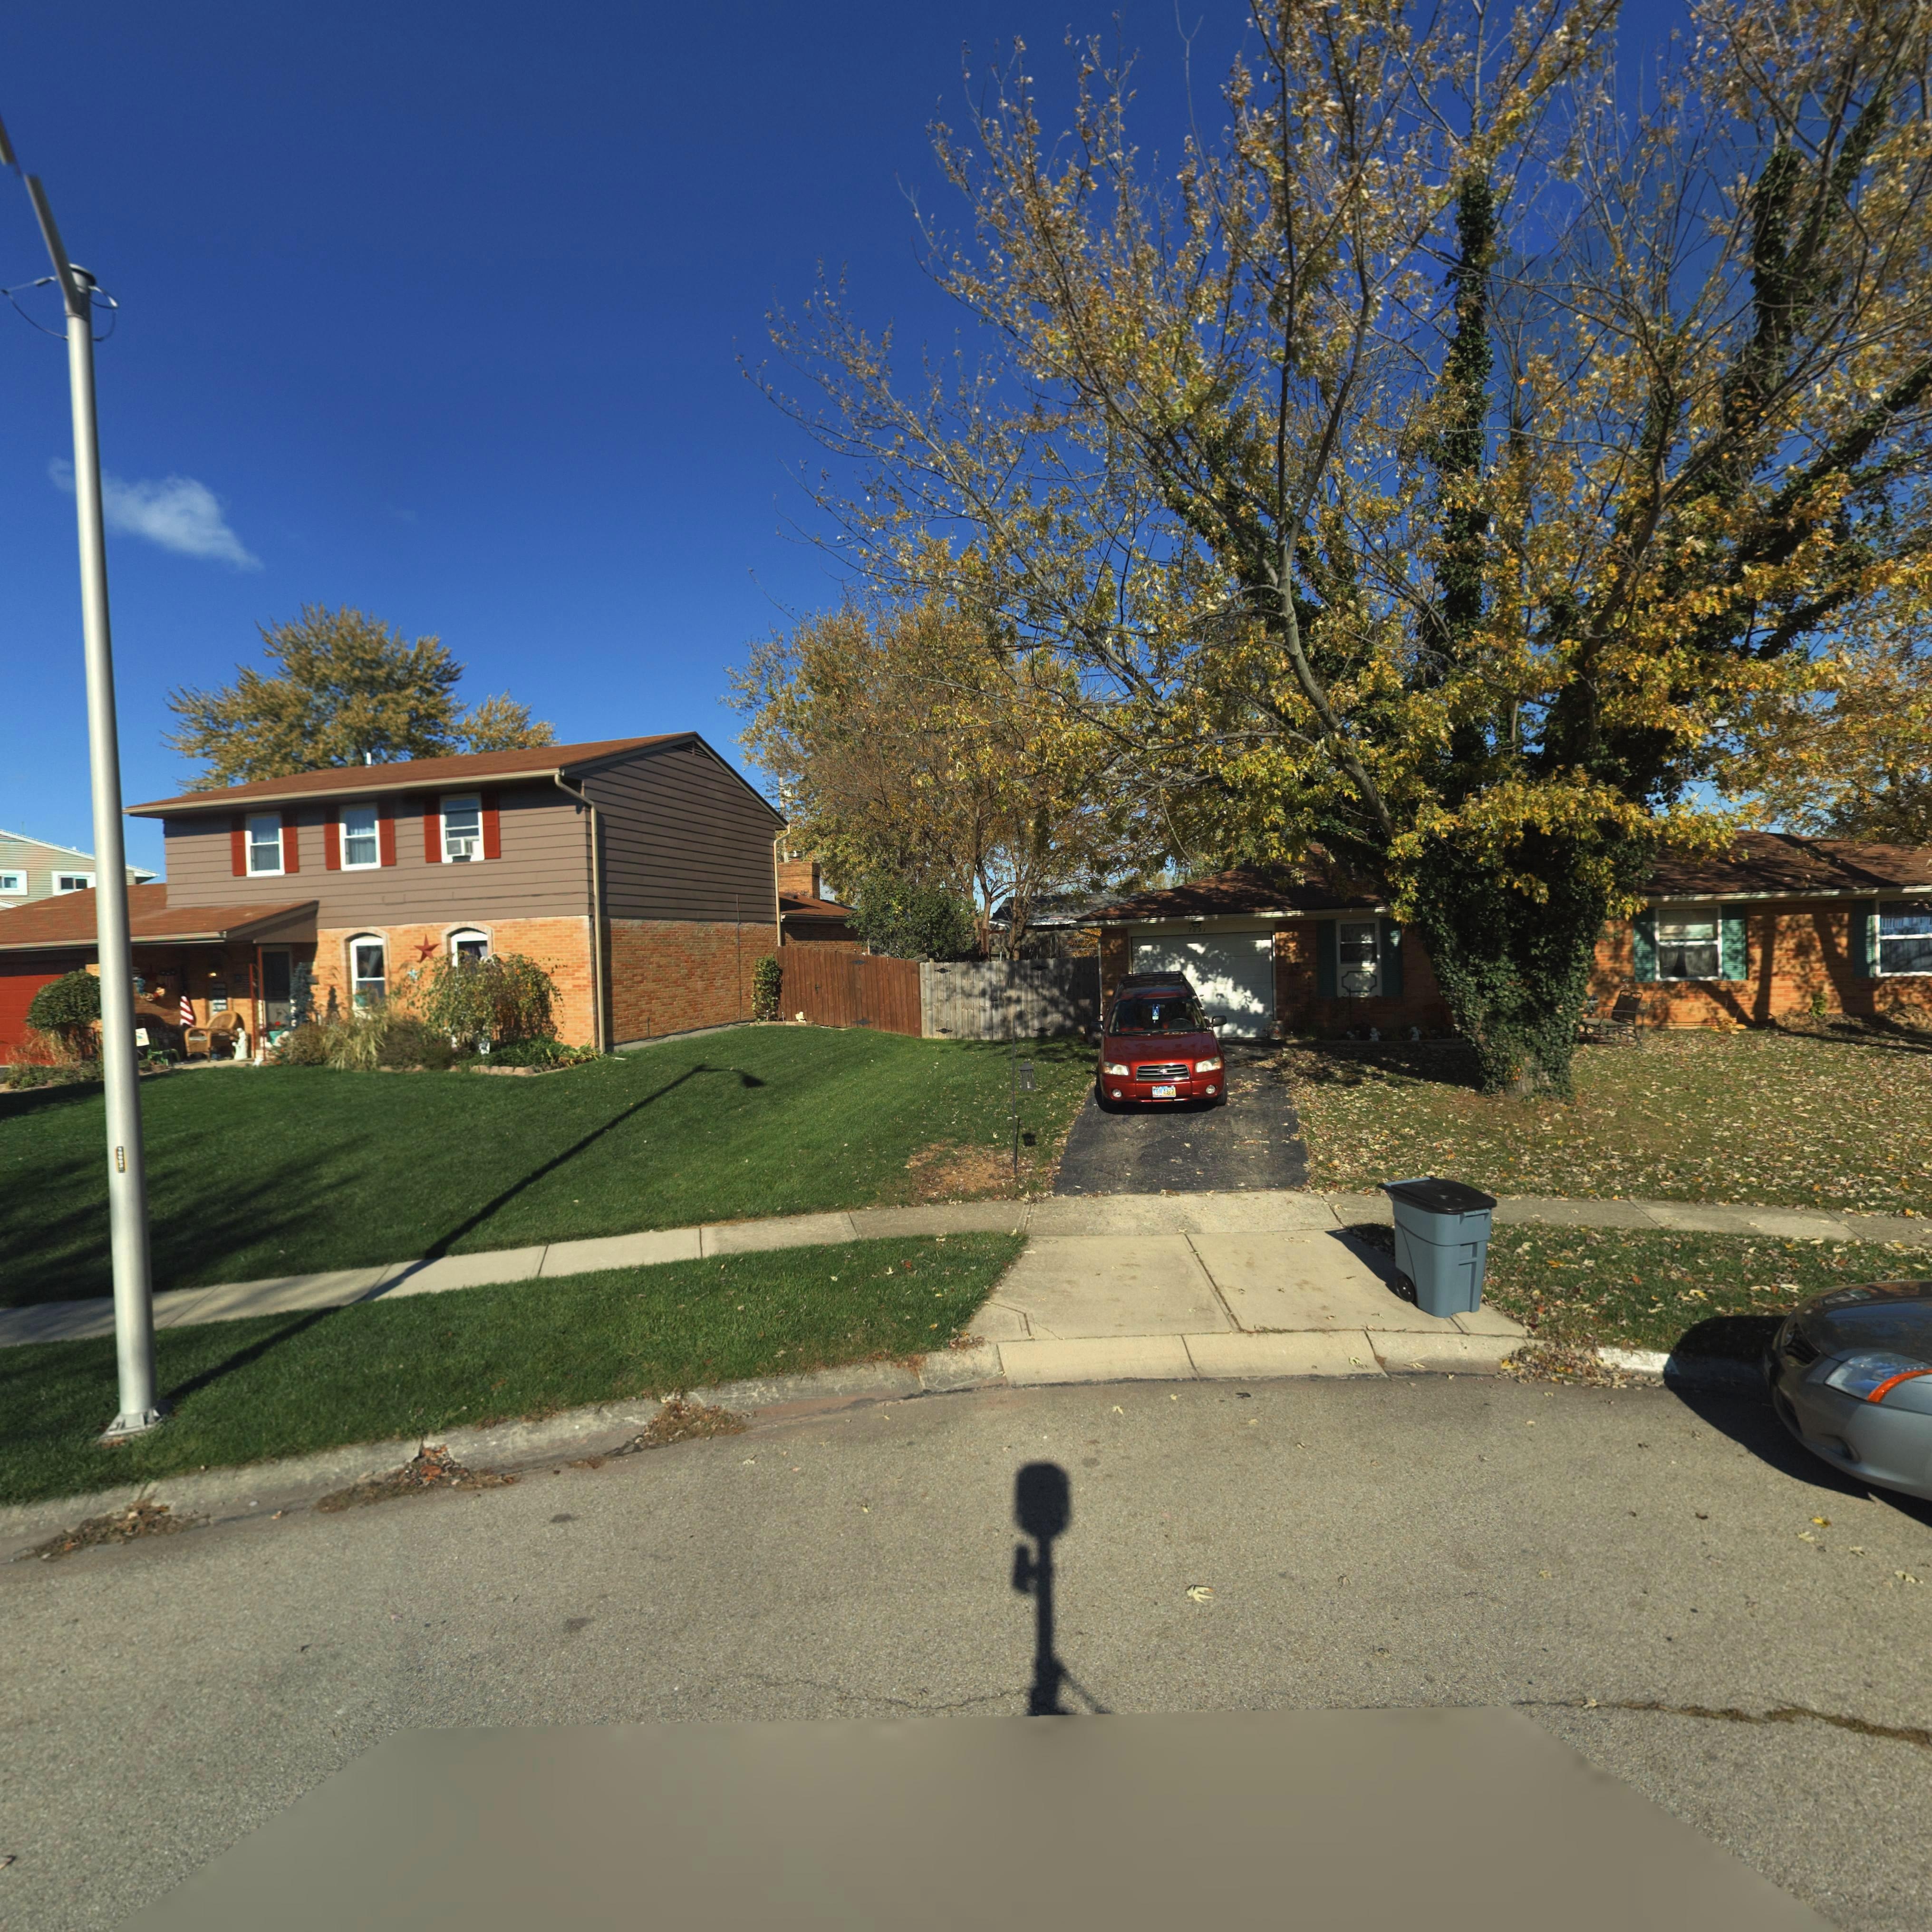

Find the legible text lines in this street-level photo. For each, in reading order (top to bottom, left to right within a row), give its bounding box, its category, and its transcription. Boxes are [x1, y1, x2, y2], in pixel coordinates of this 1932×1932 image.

[1188, 927, 1207, 933] StreetNumber: 7021
[1603, 1351, 1633, 1366] StreetNumber: 70